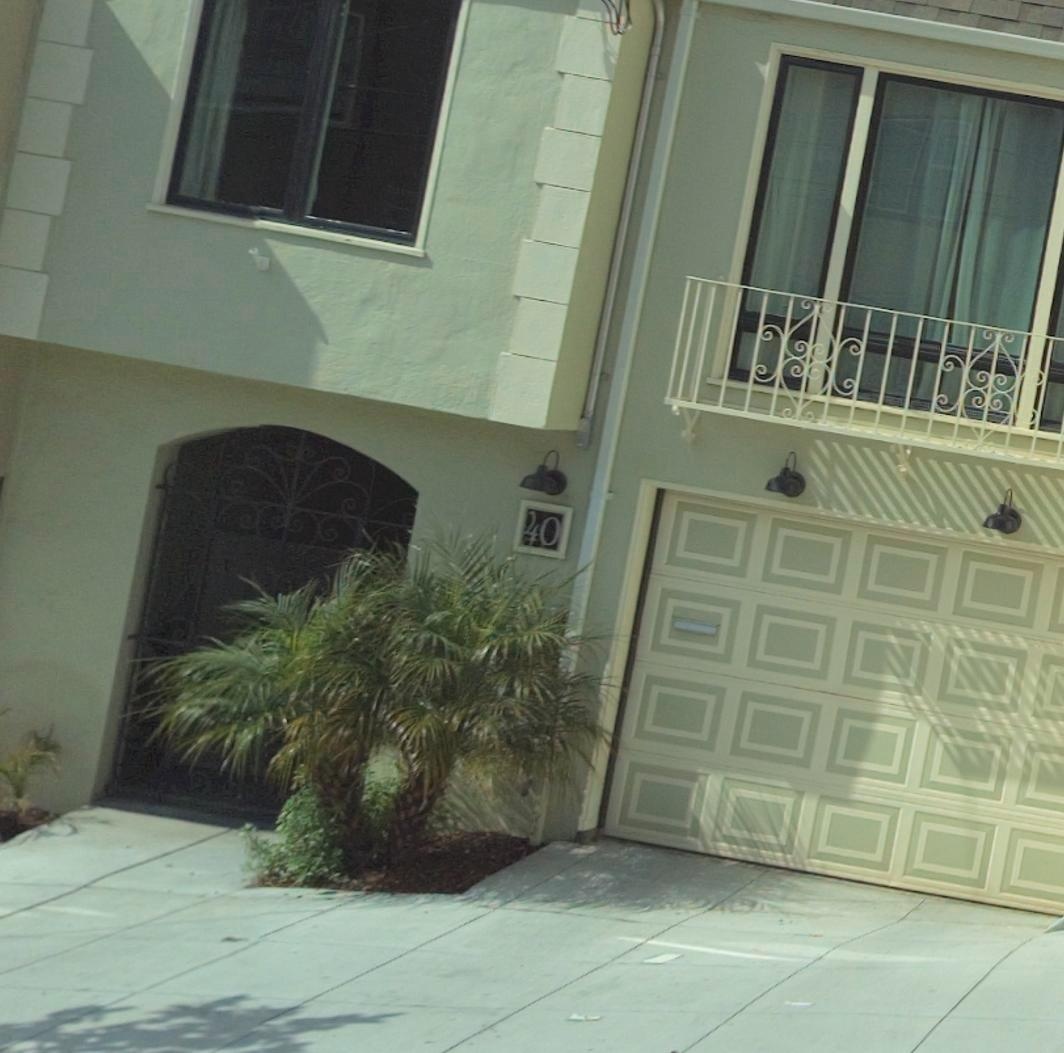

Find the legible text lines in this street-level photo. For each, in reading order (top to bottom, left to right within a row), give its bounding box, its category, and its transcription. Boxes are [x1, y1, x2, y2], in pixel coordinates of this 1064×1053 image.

[520, 508, 564, 552] StreetNumber: 40